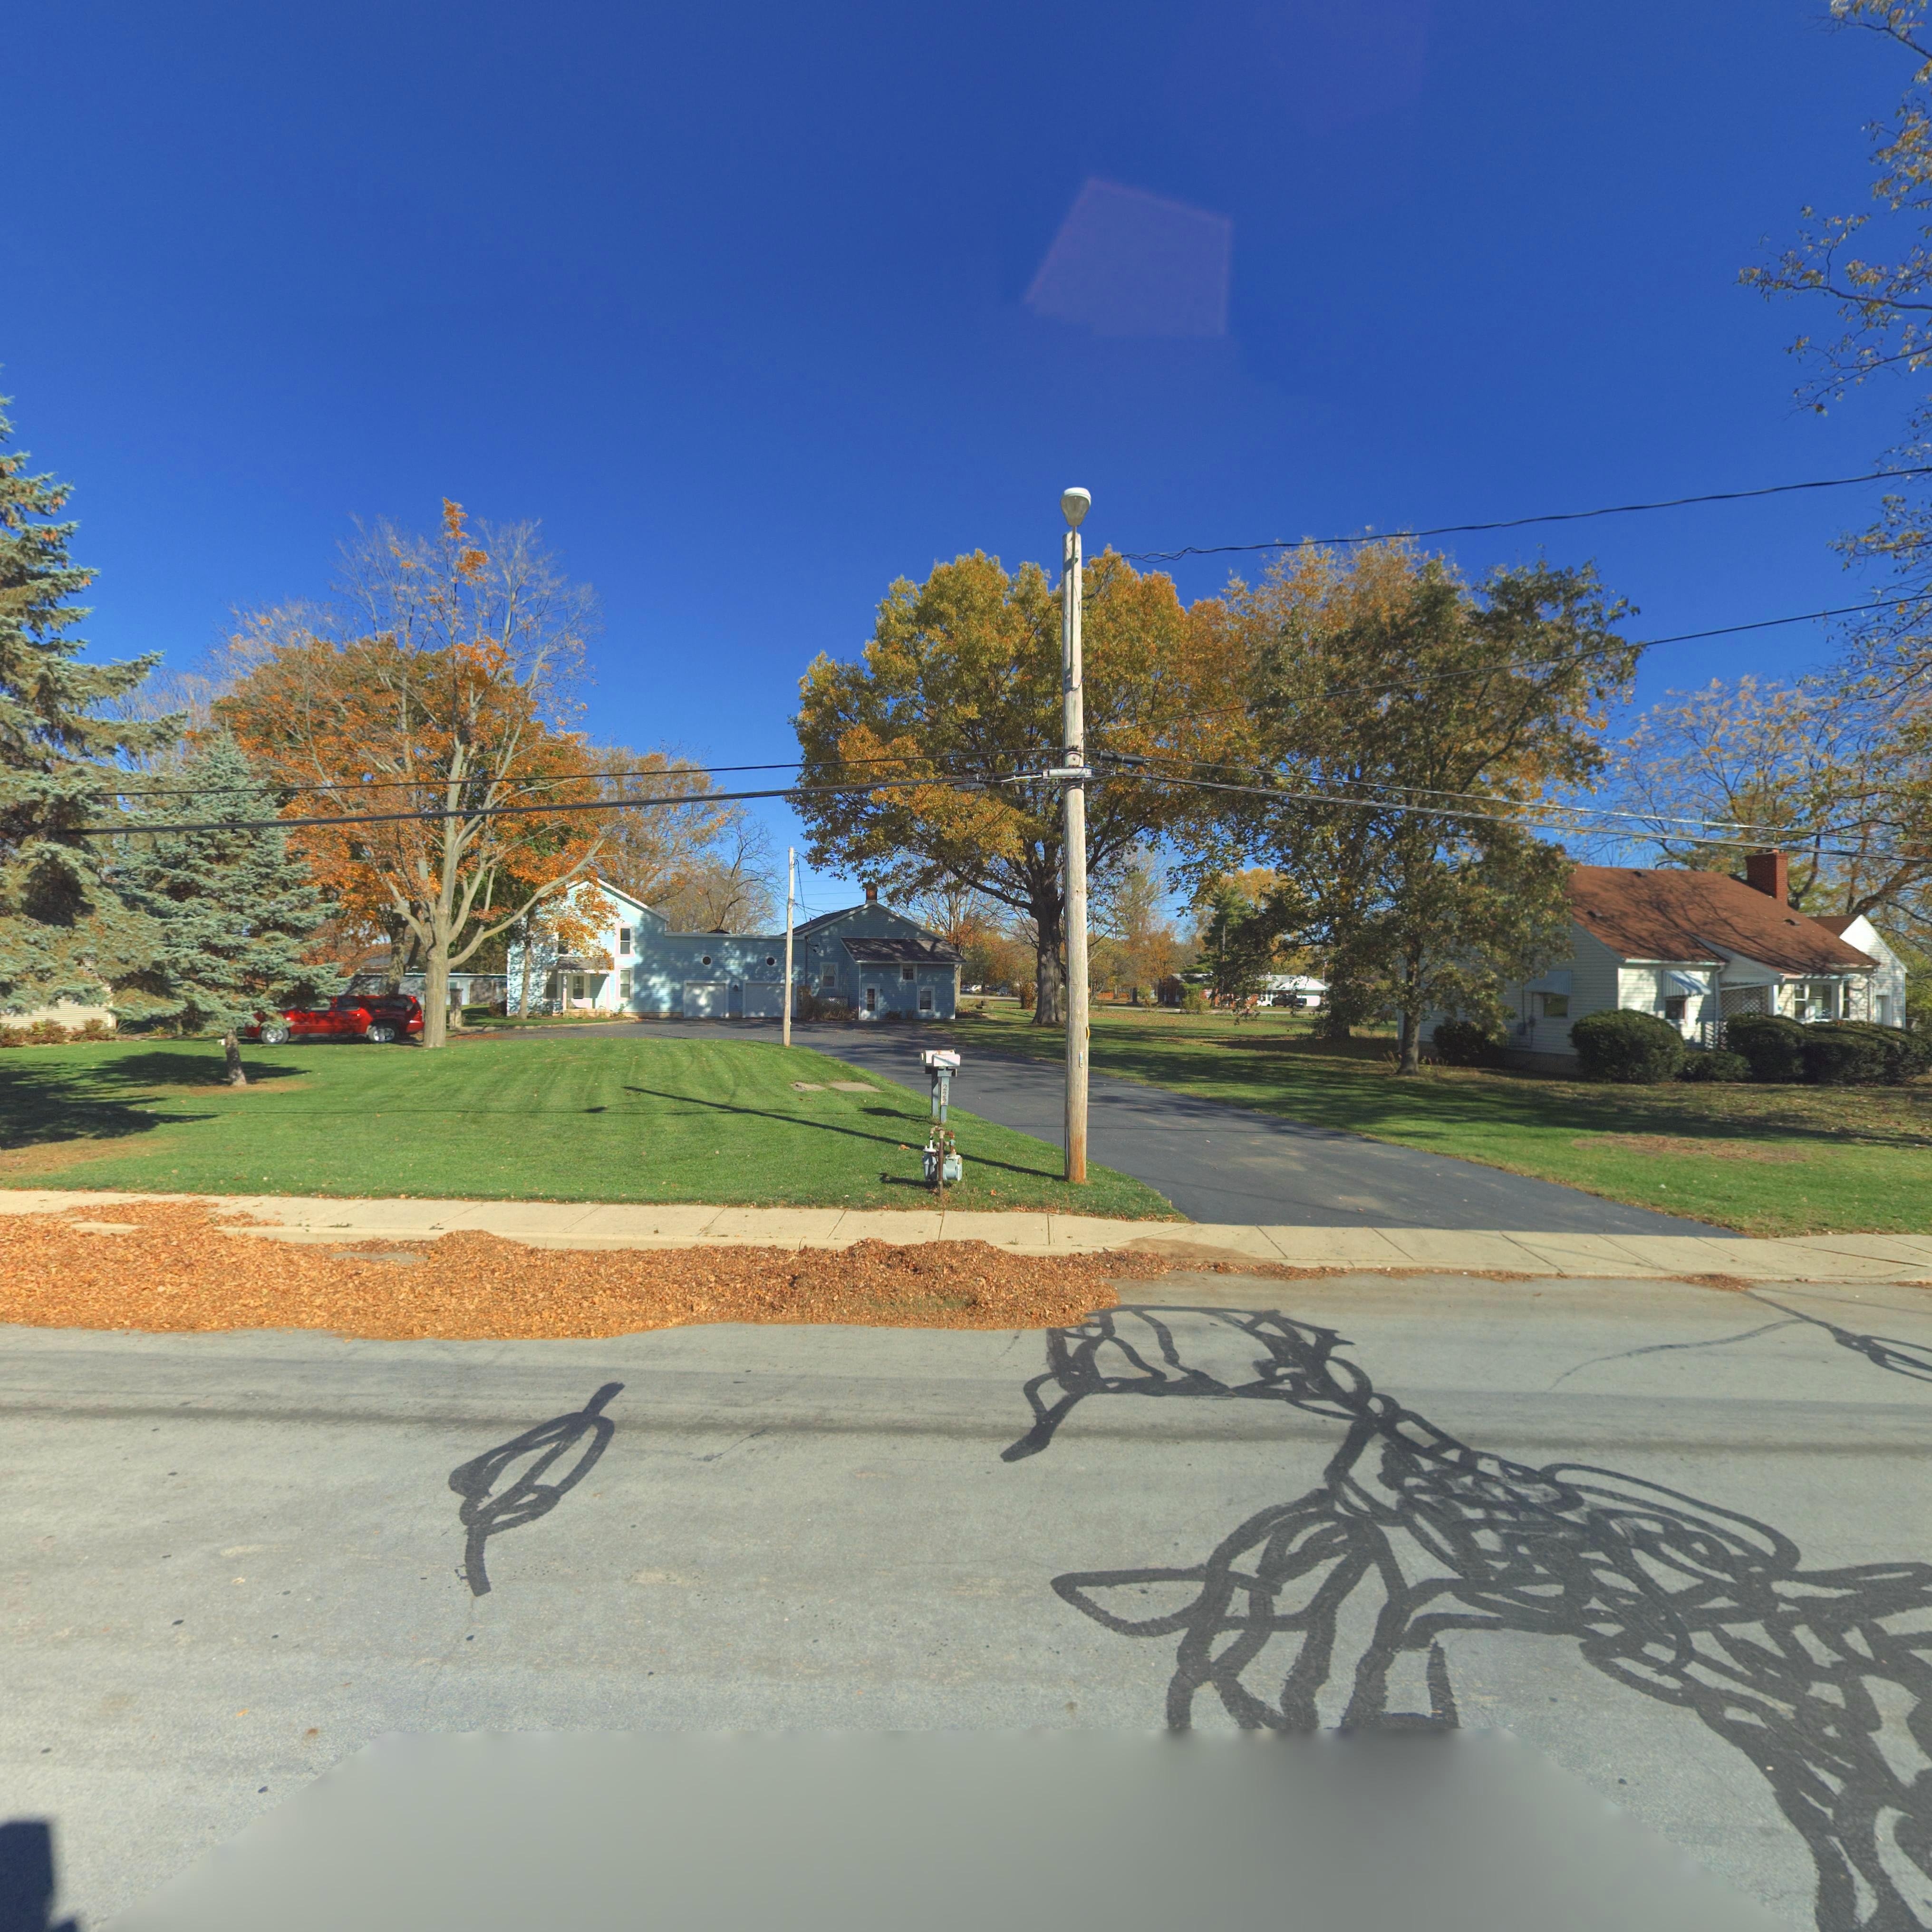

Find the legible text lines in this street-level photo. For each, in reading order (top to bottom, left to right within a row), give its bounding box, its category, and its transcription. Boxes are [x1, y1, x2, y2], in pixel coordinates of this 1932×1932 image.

[942, 1084, 947, 1105] StreetNumber: 222